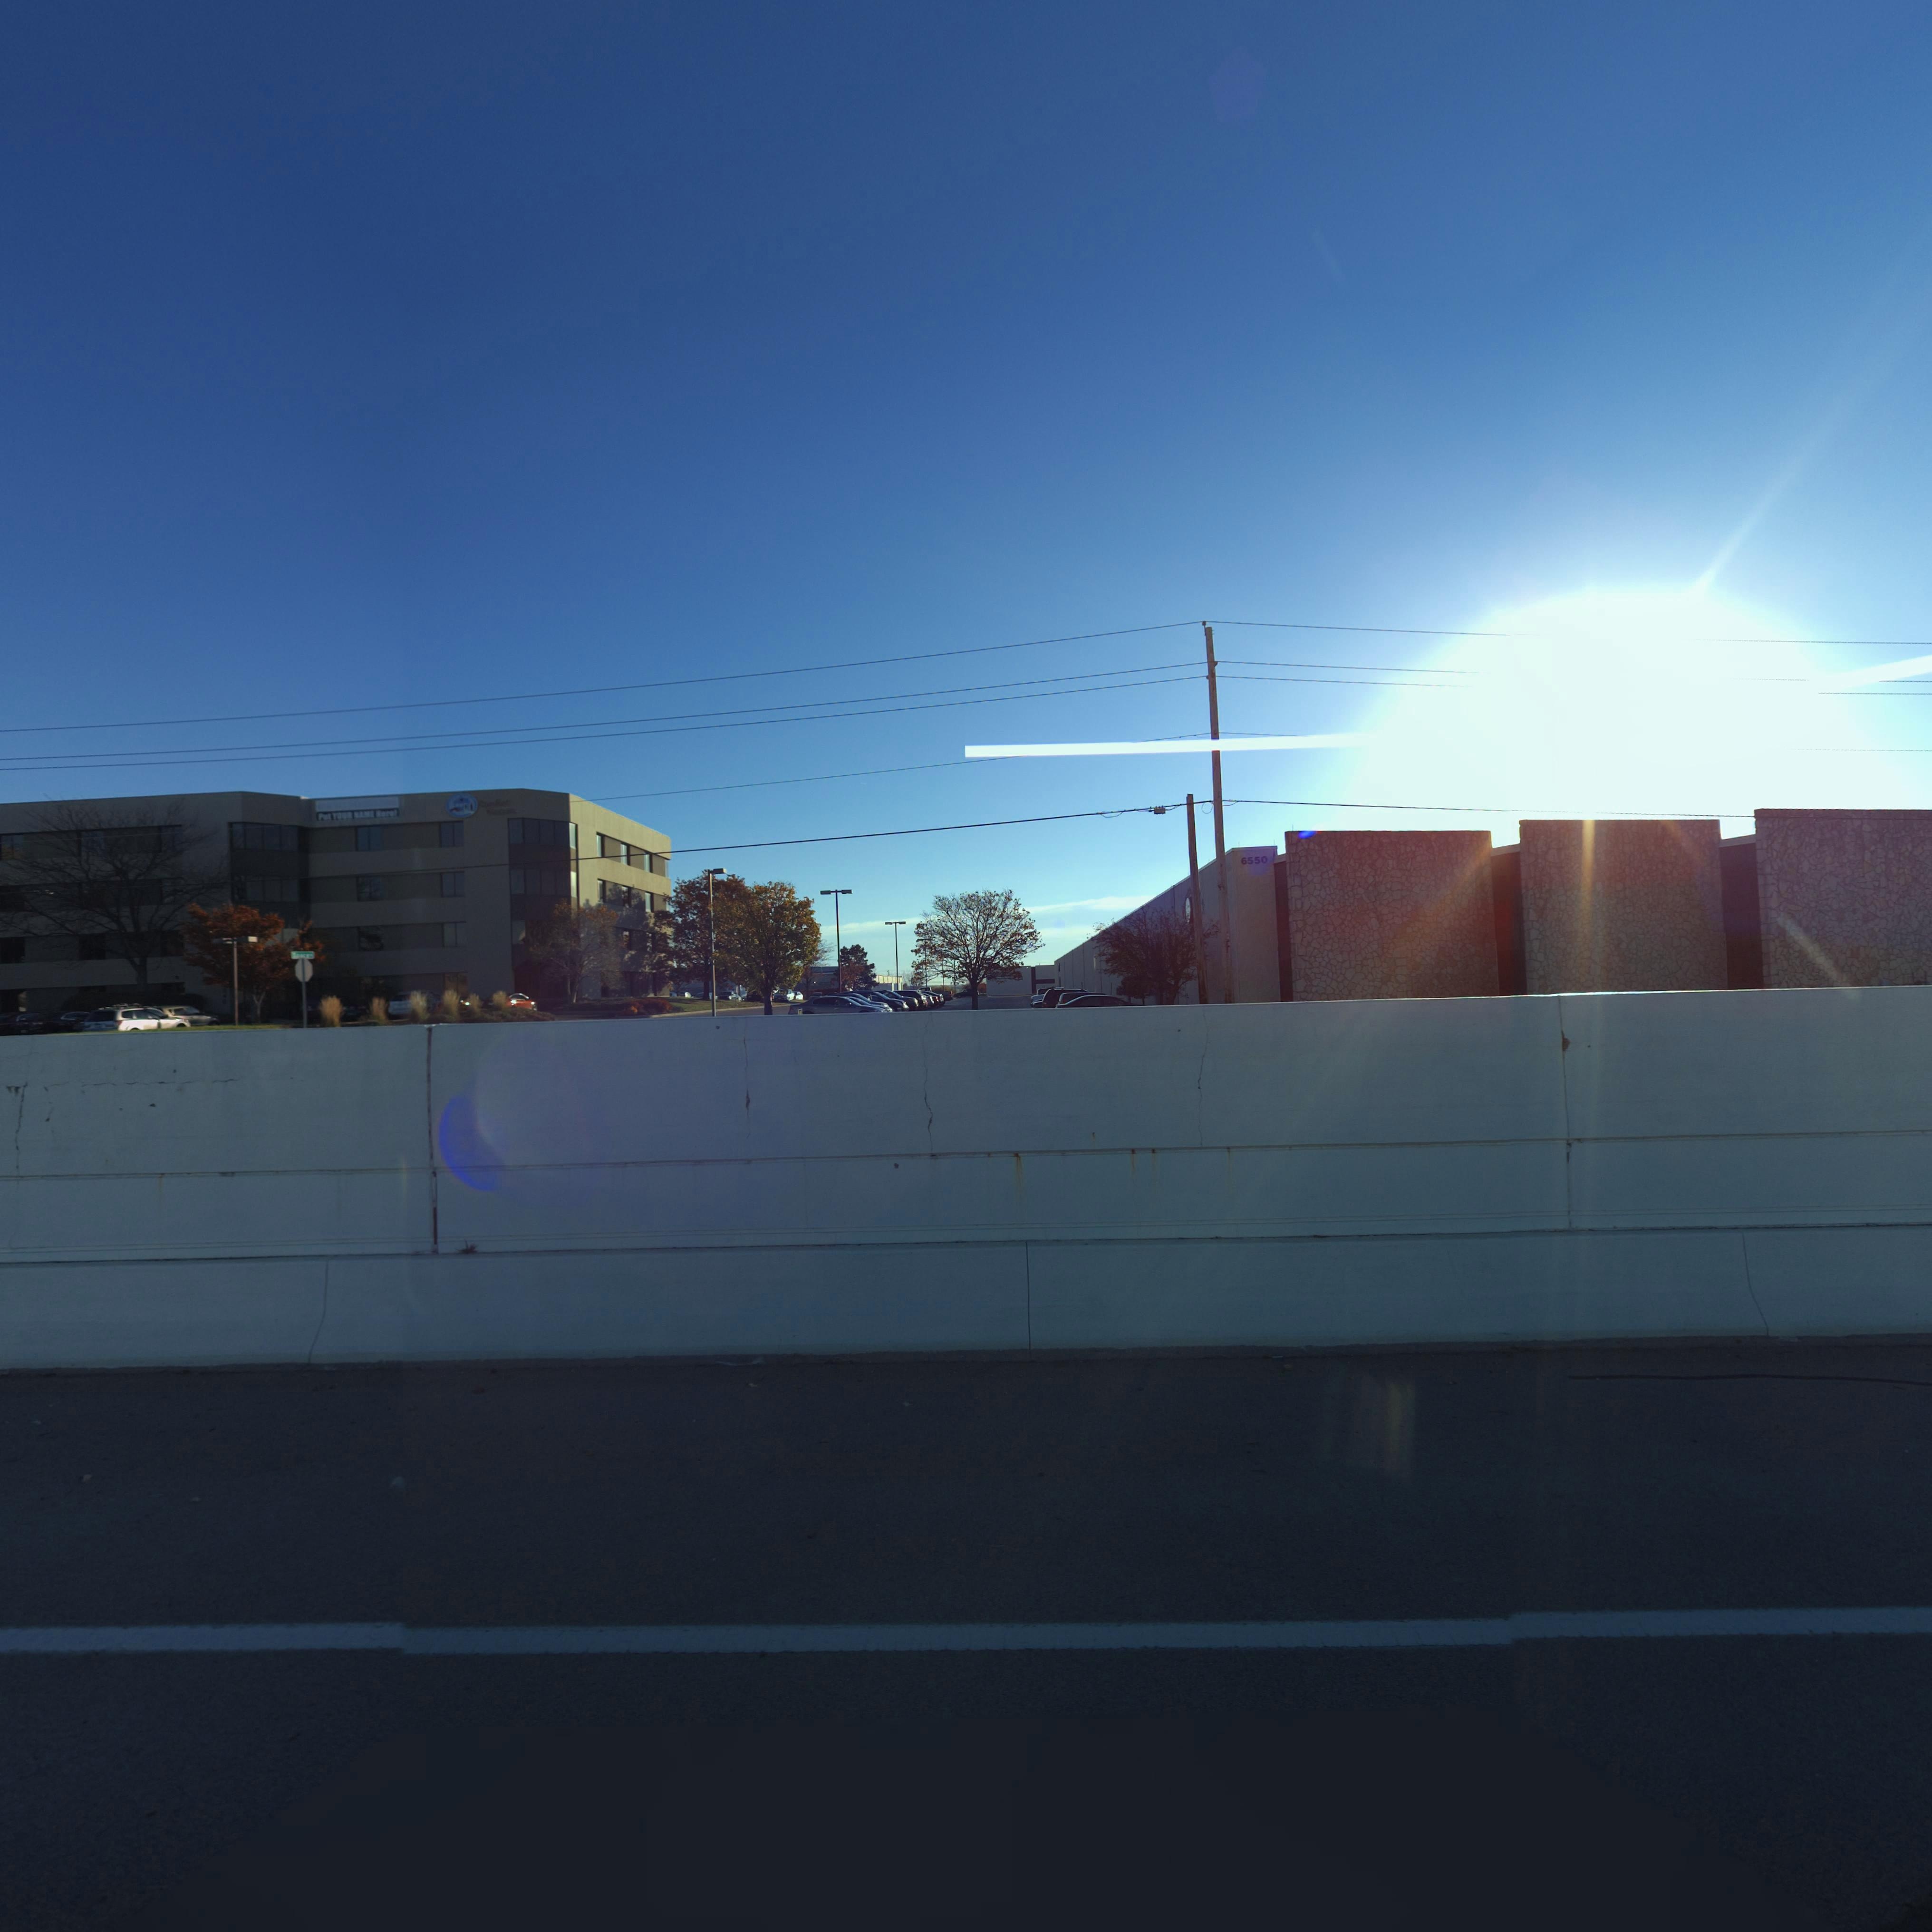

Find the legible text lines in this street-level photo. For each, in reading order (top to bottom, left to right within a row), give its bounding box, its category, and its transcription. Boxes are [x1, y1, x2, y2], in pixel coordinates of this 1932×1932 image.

[1240, 855, 1269, 867] StreetNumber: 6550